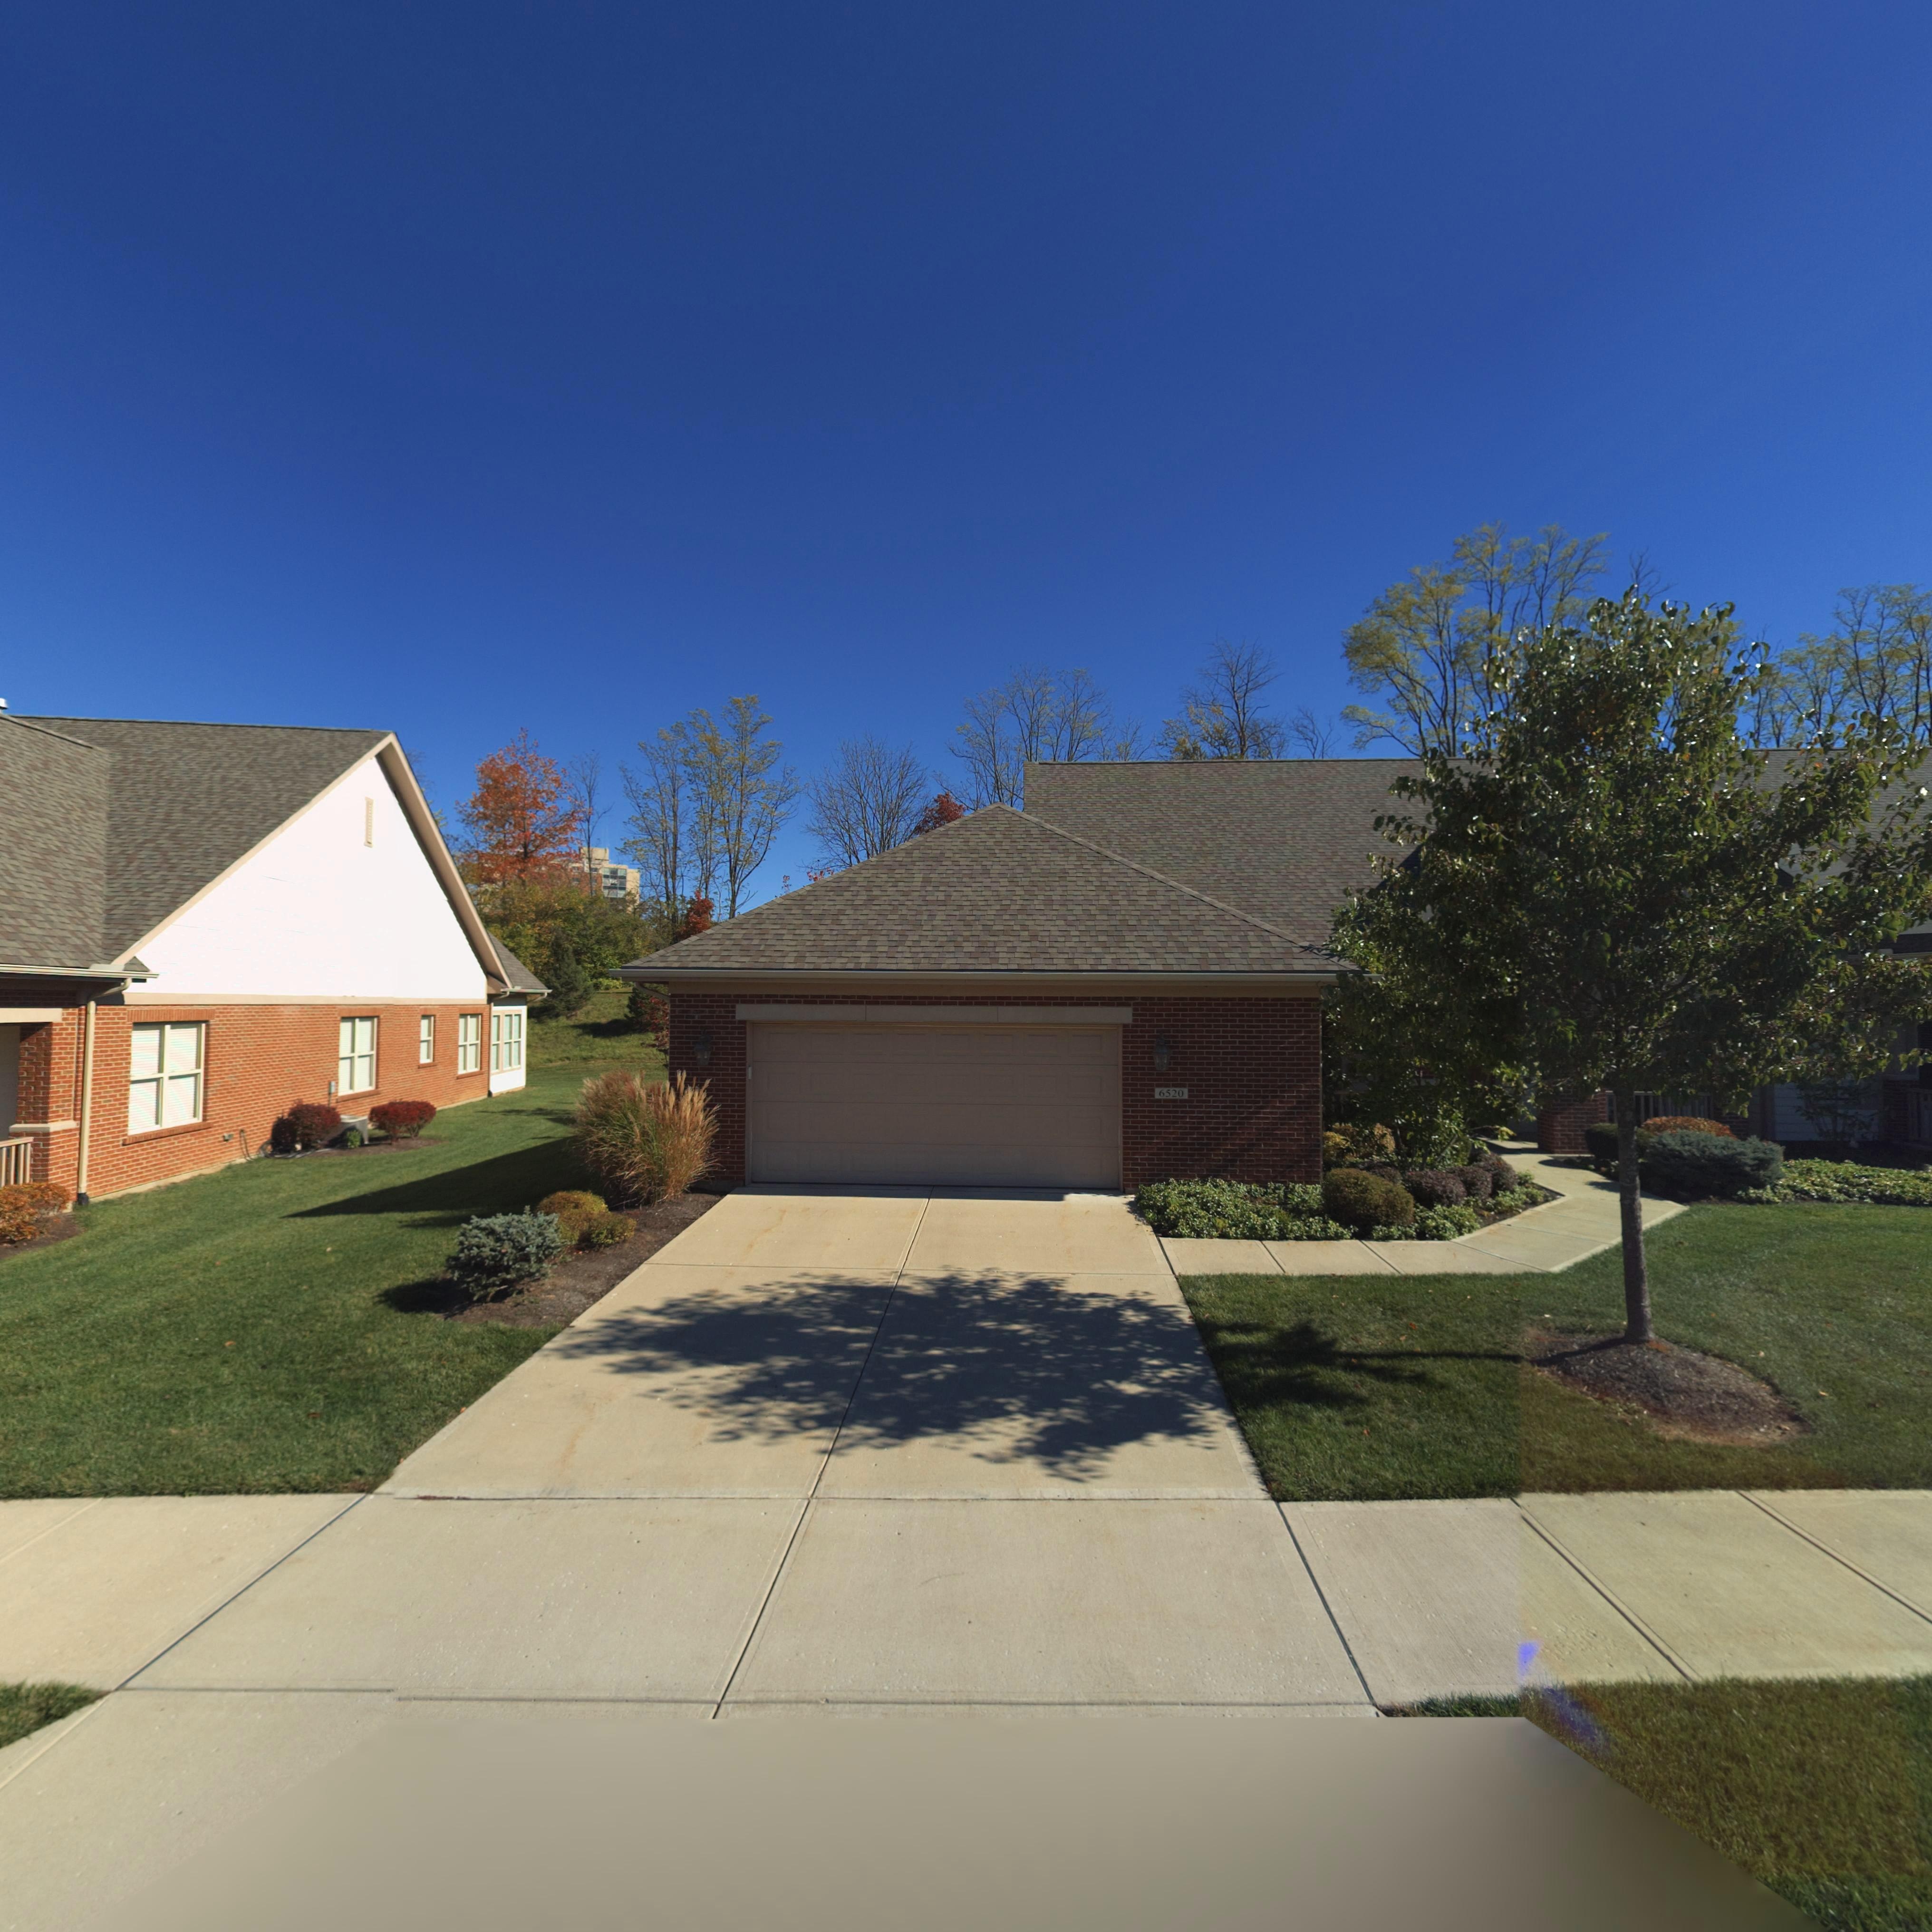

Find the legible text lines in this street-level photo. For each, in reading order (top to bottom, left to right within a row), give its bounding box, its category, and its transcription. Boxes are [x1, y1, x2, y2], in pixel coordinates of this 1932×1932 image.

[1158, 1088, 1184, 1098] StreetNumber: 6520